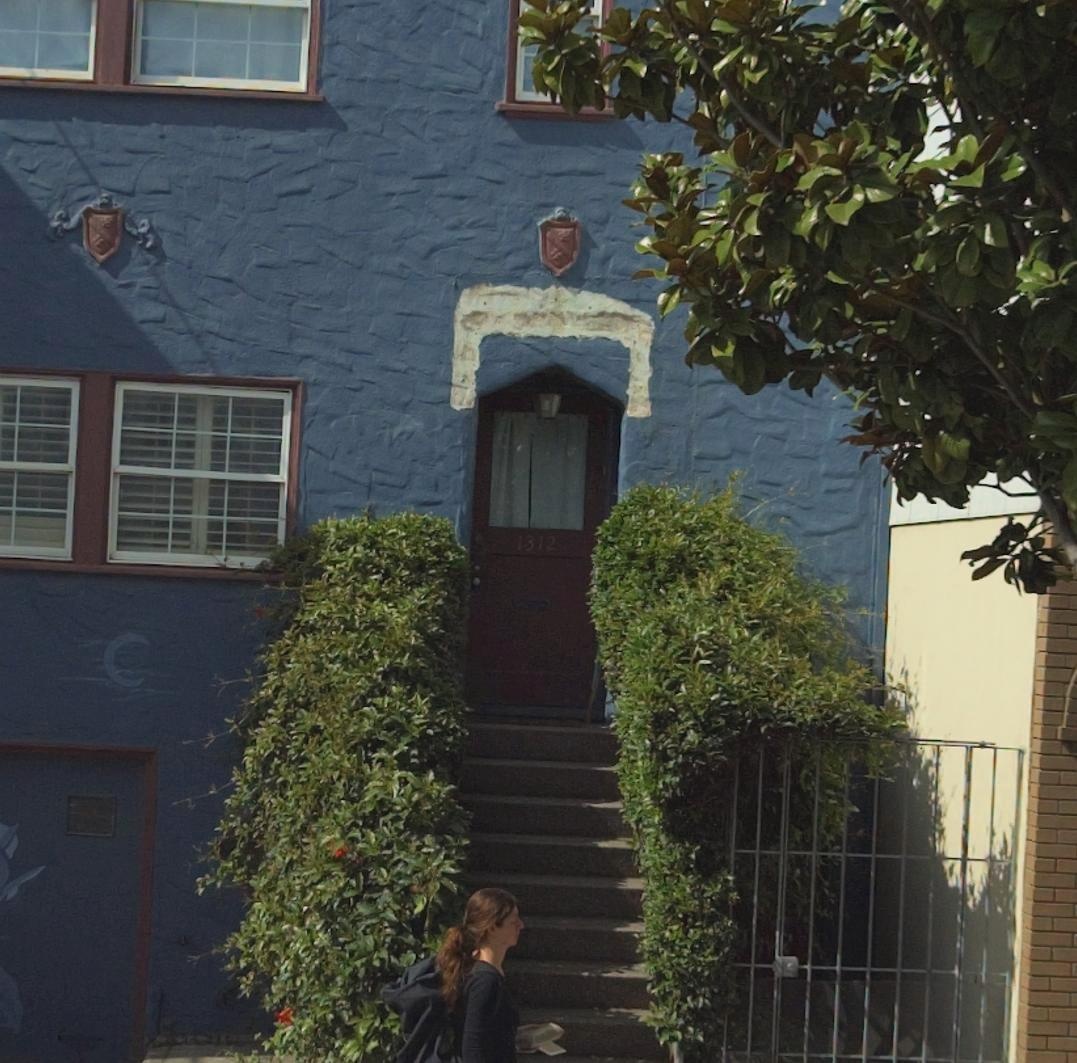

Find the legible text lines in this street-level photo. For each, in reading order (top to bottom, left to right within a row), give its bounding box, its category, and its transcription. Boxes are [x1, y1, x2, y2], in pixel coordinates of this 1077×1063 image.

[514, 533, 557, 552] StreetNumber: 1312